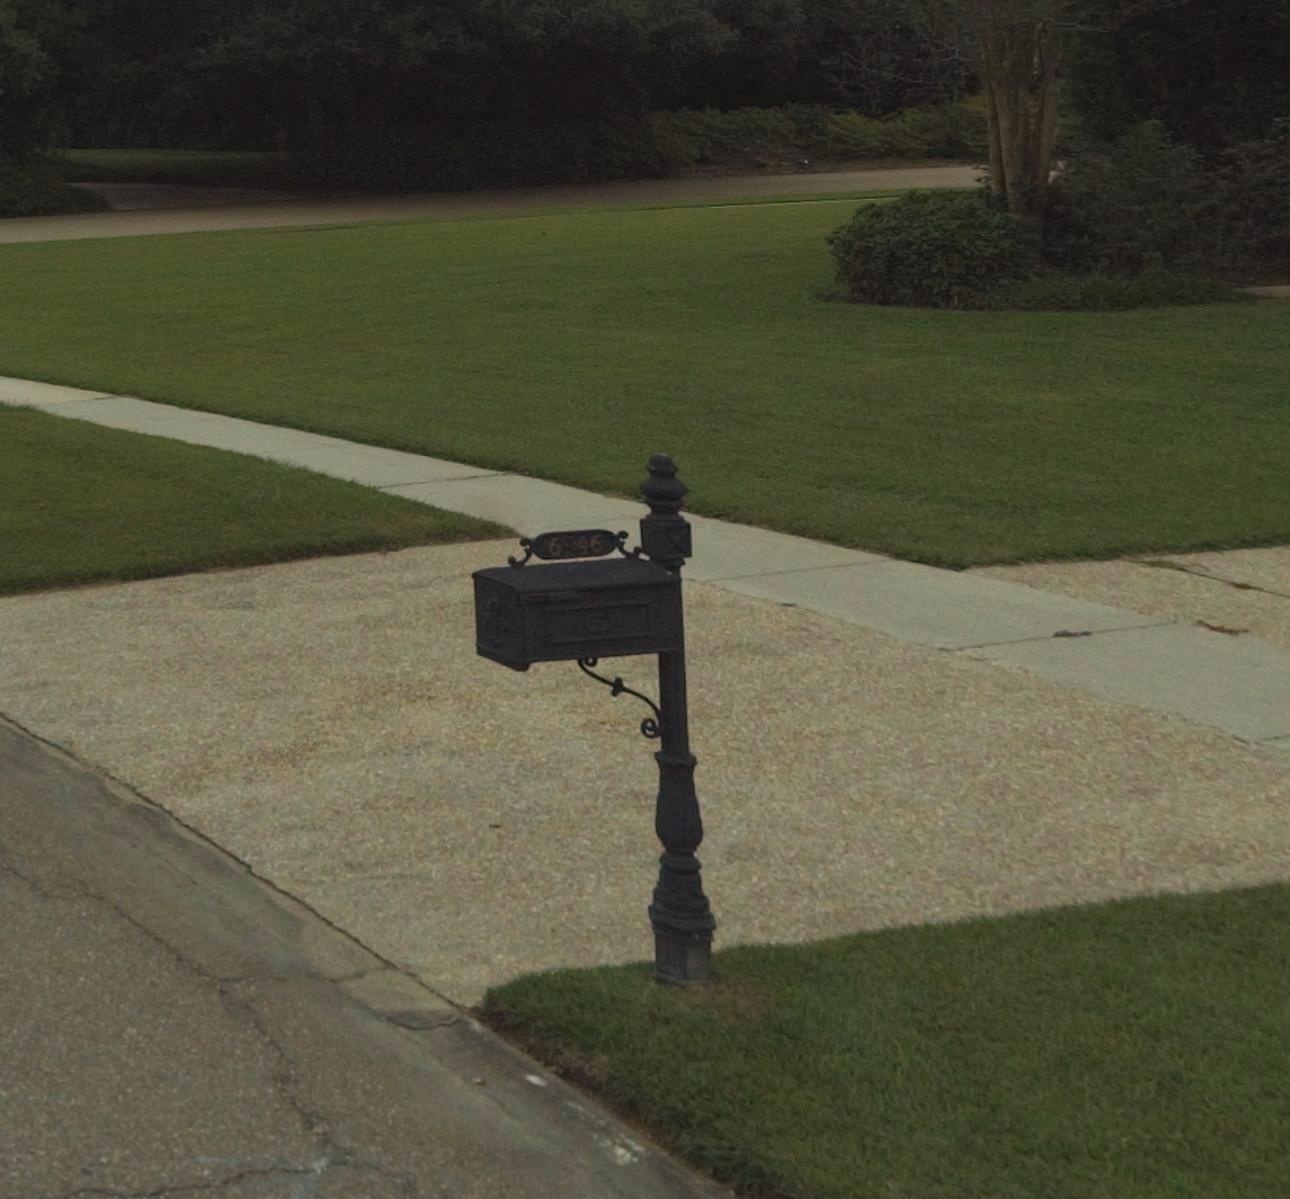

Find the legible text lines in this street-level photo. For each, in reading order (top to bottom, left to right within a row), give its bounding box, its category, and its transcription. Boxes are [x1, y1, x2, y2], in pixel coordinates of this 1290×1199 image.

[542, 534, 606, 557] StreetNumber: 6946